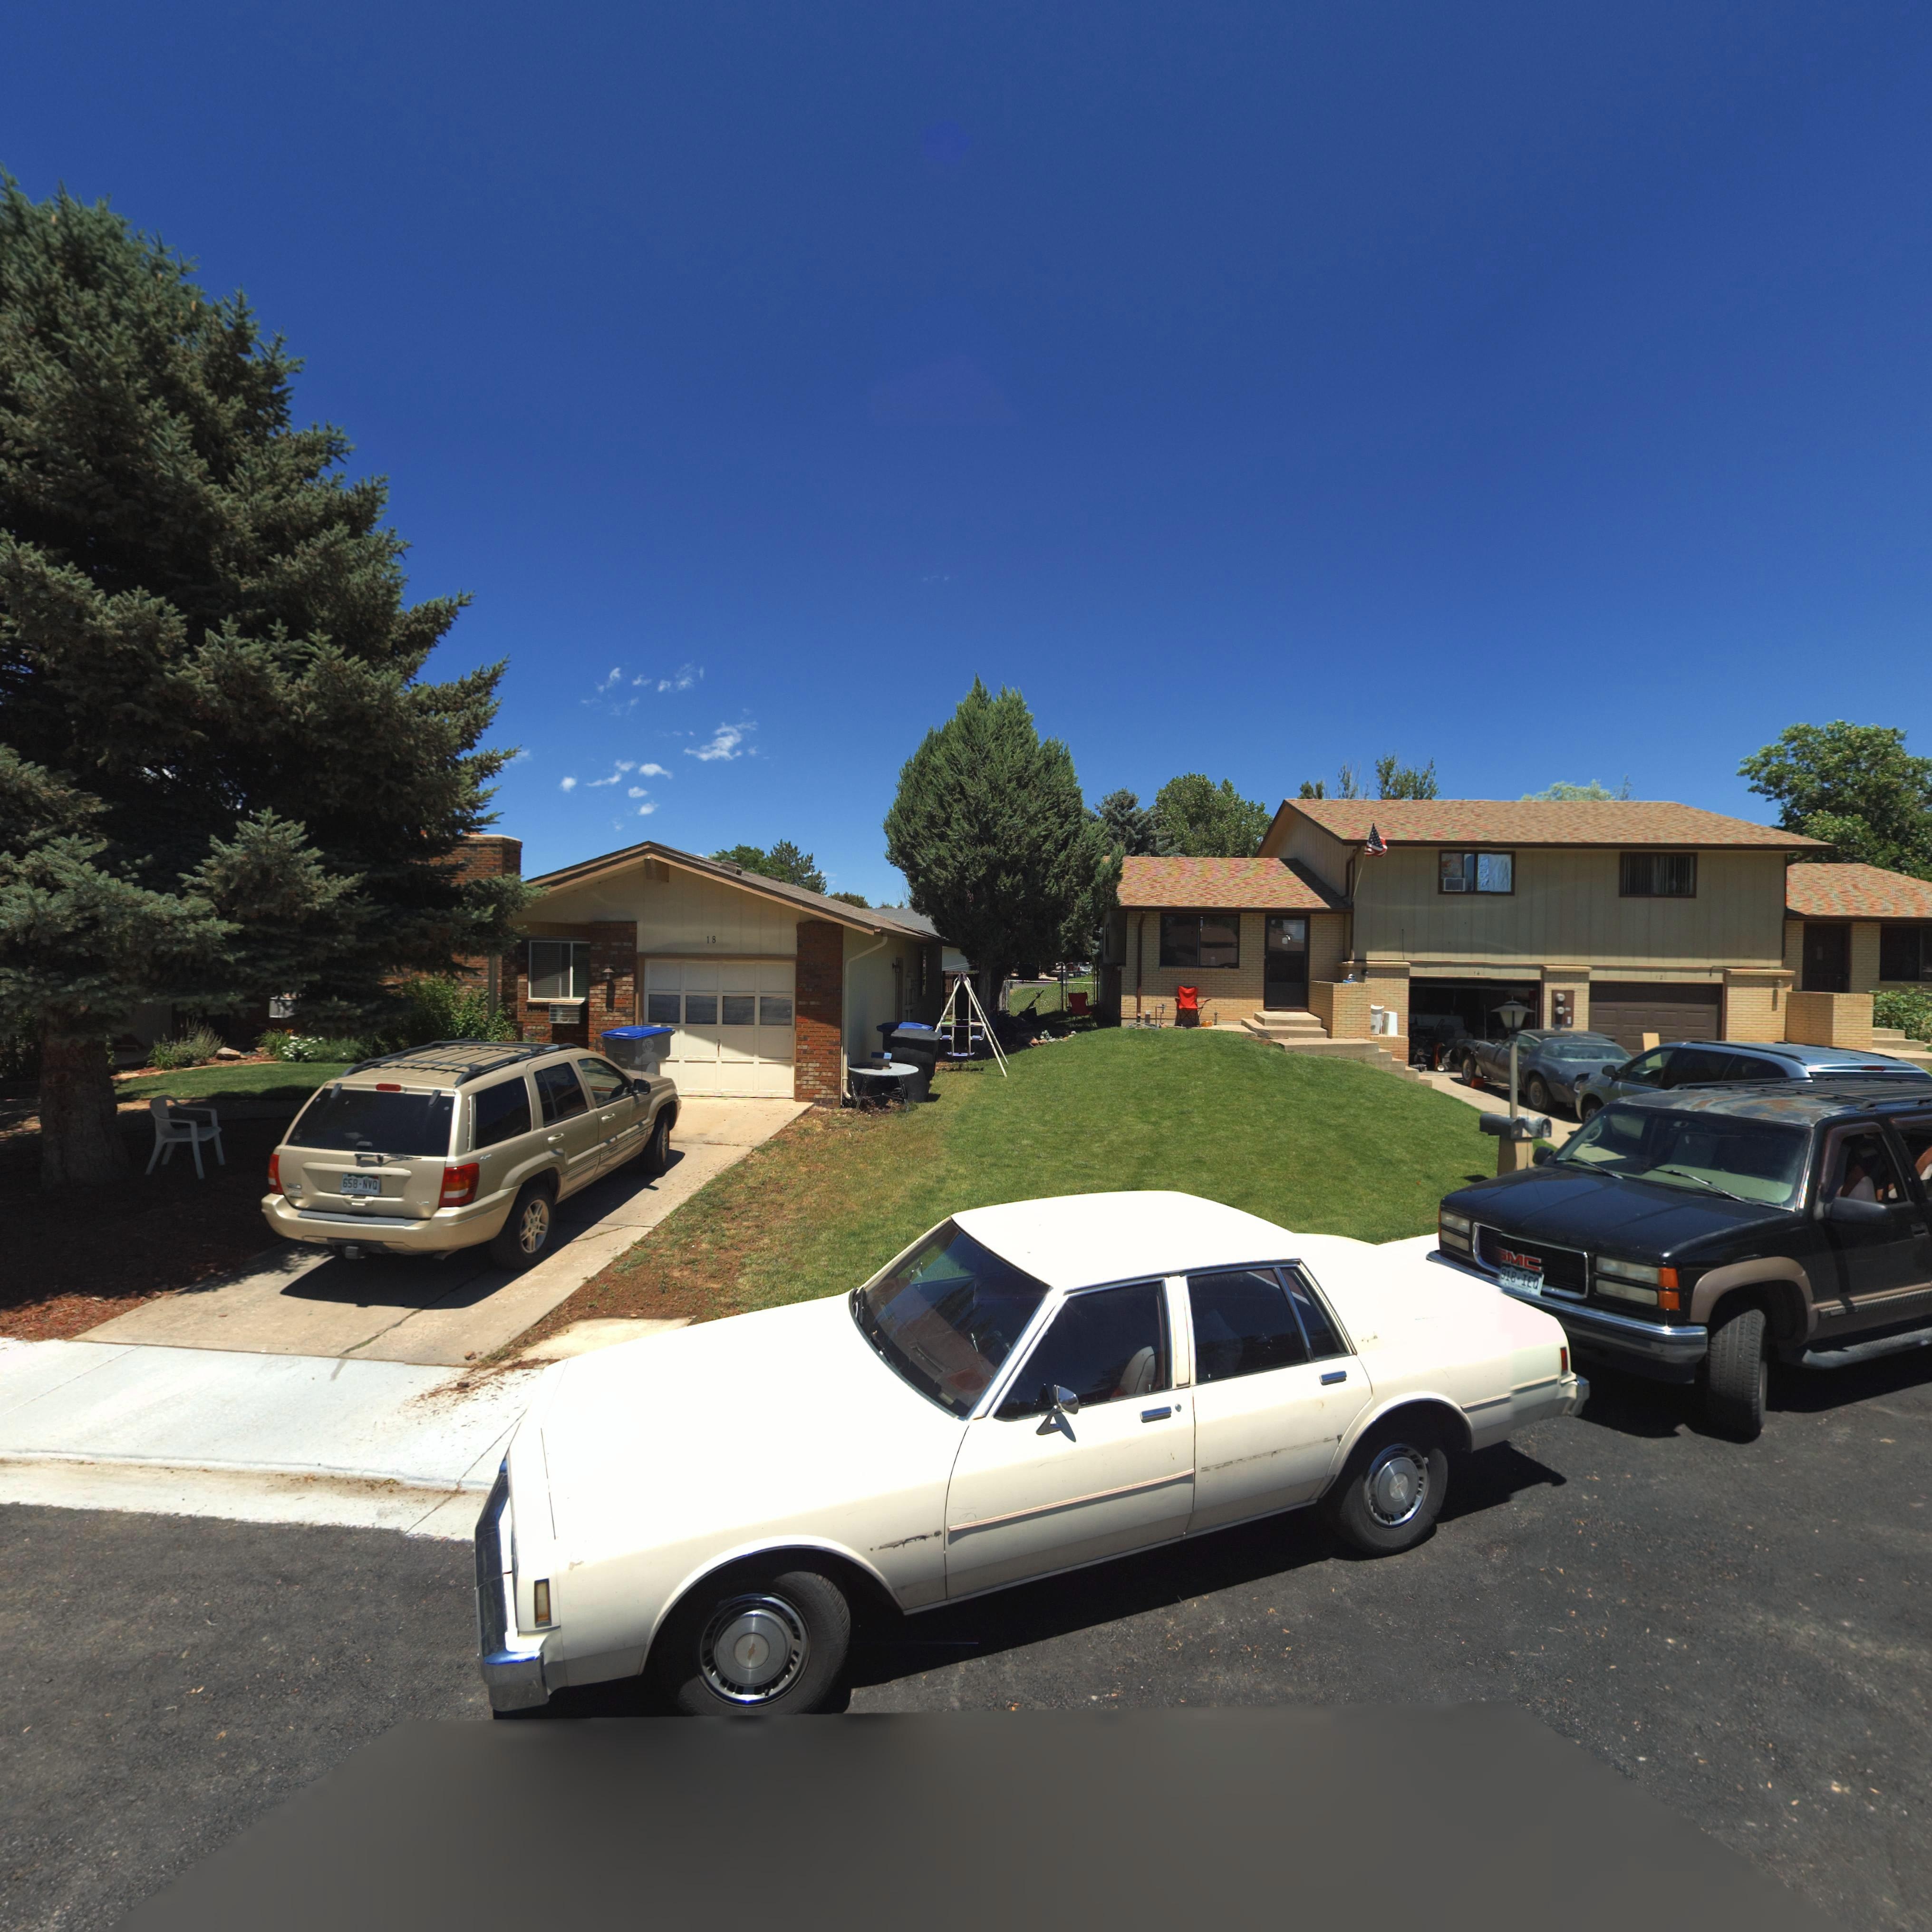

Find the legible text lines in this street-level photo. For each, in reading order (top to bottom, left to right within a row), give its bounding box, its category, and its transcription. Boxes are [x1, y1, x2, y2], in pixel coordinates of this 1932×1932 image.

[706, 935, 716, 944] StreetNumber: 18
[1473, 970, 1480, 976] StreetNumber: 14
[1655, 974, 1663, 980] StreetNumber: 12